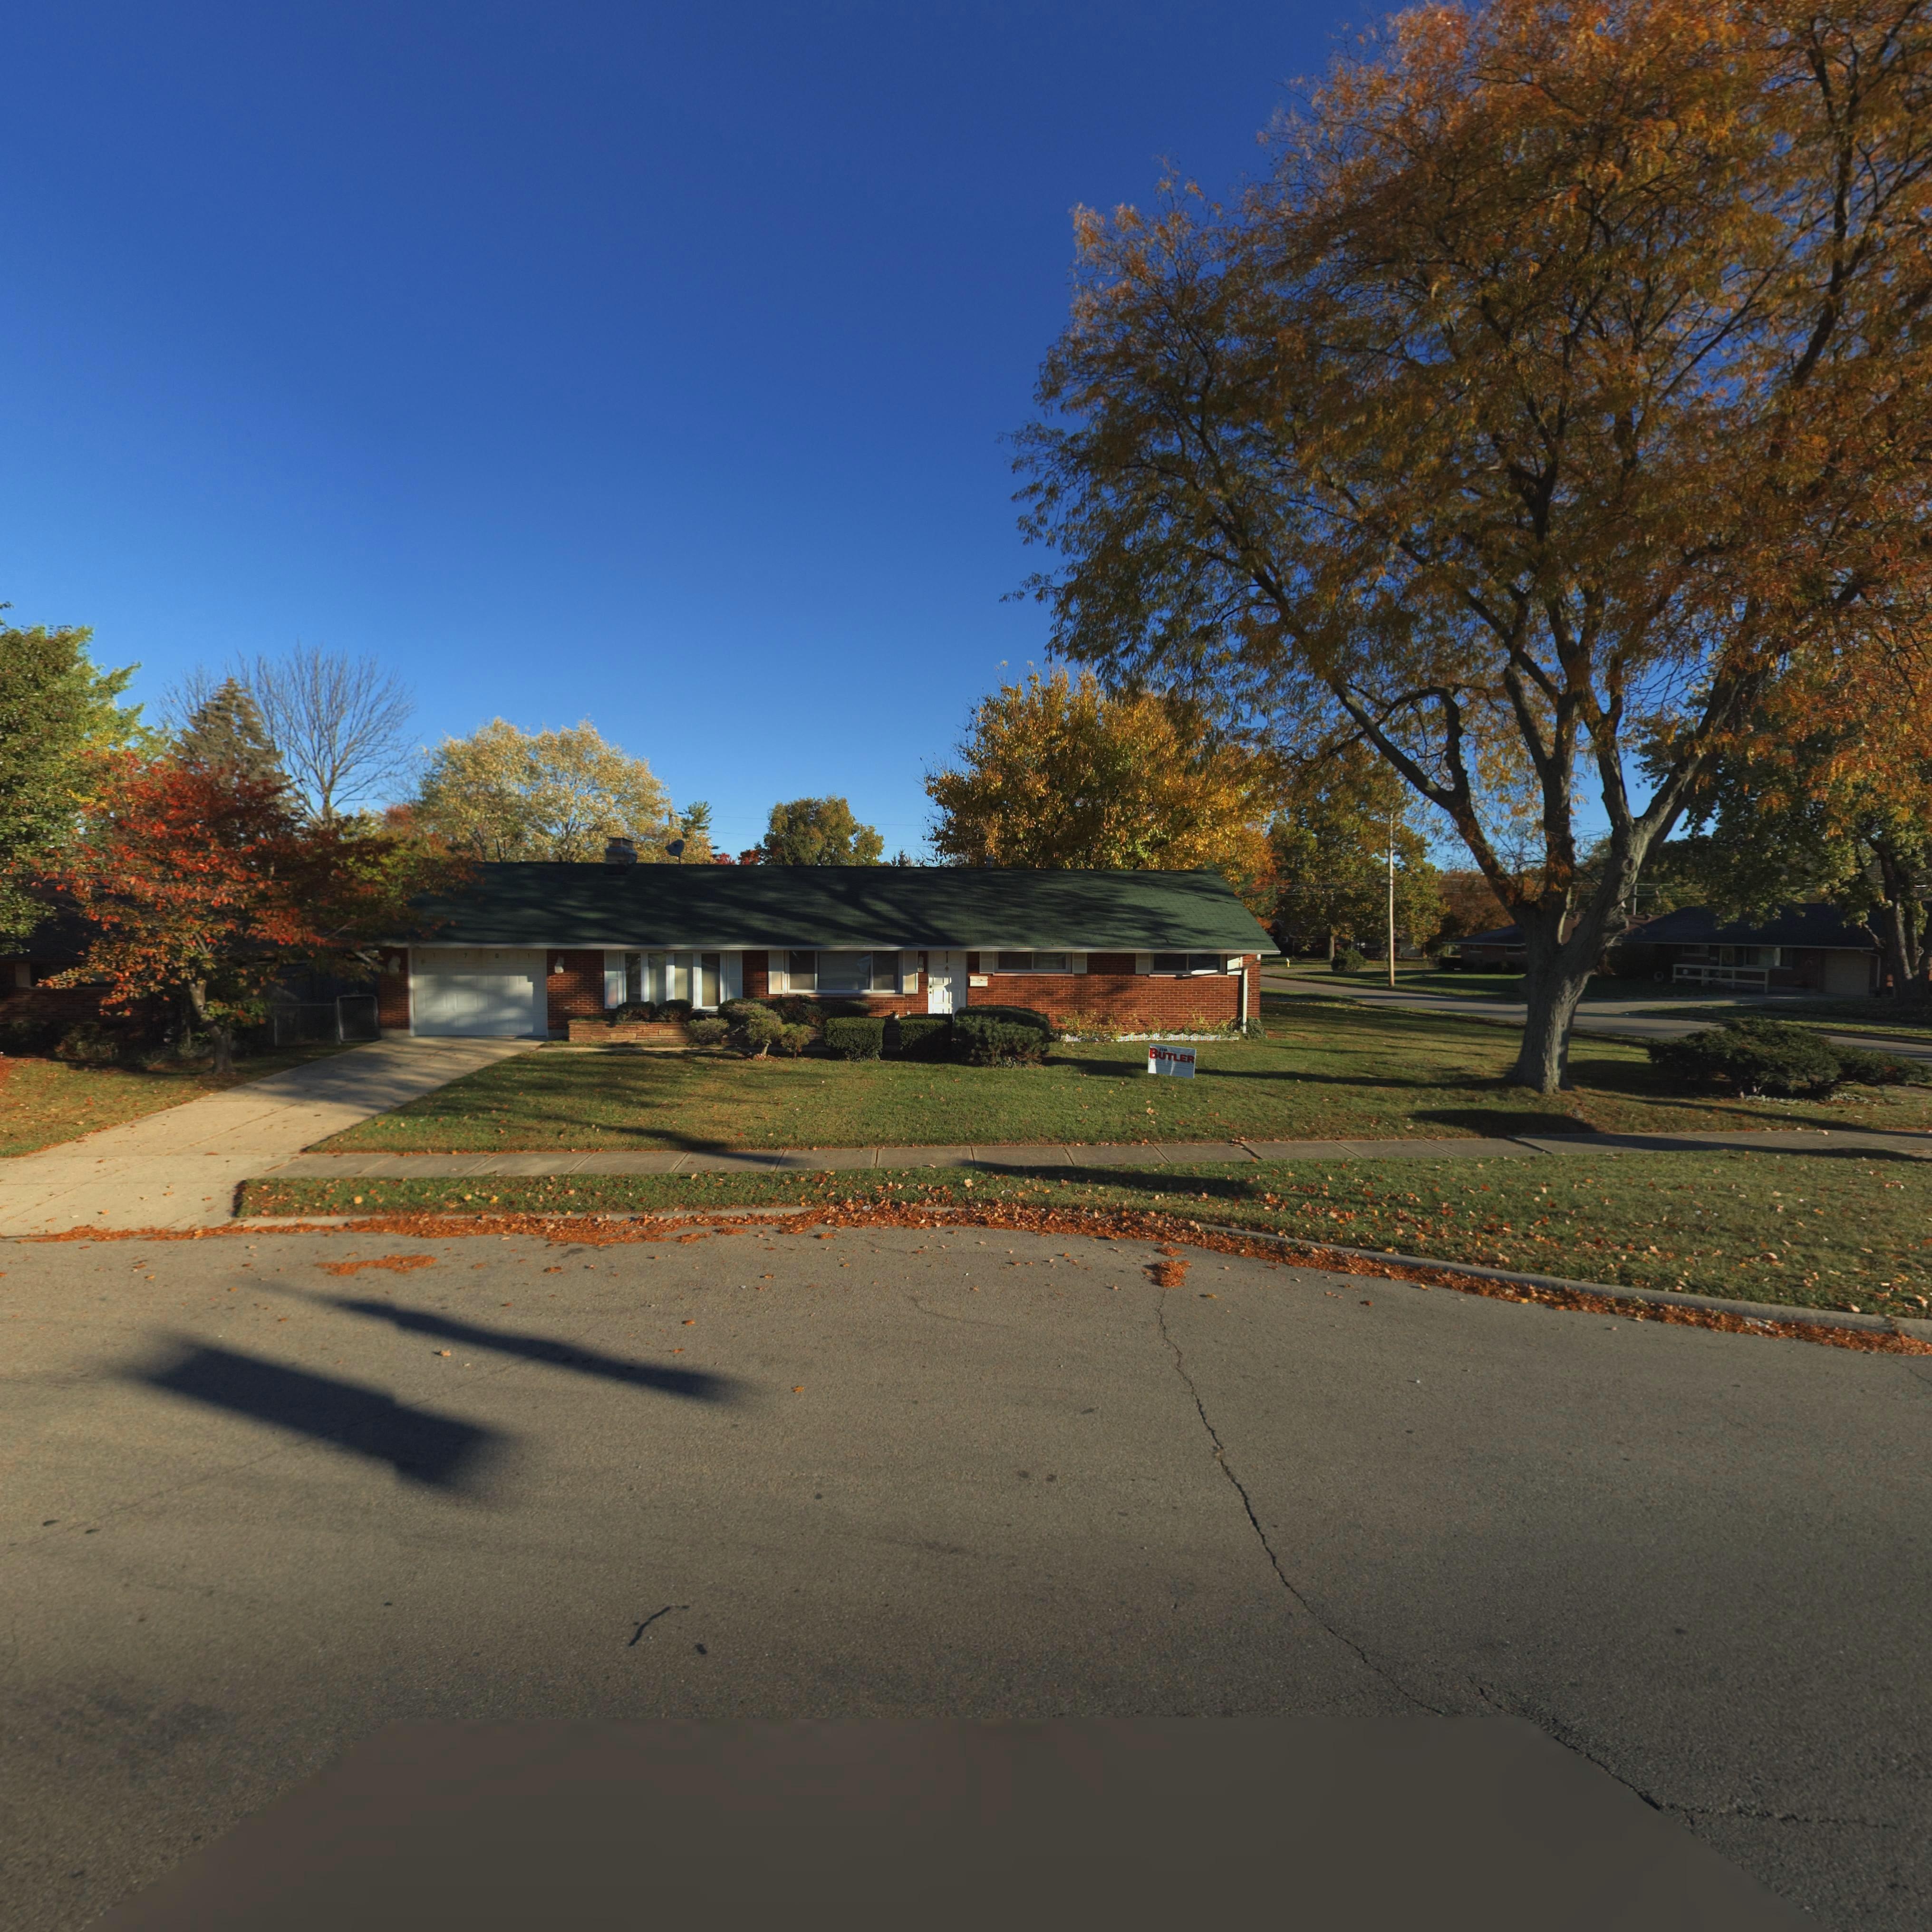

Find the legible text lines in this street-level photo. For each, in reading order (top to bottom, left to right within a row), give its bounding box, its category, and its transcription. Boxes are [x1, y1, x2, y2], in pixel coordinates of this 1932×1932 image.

[431, 951, 530, 958] StreetNumber: 1701